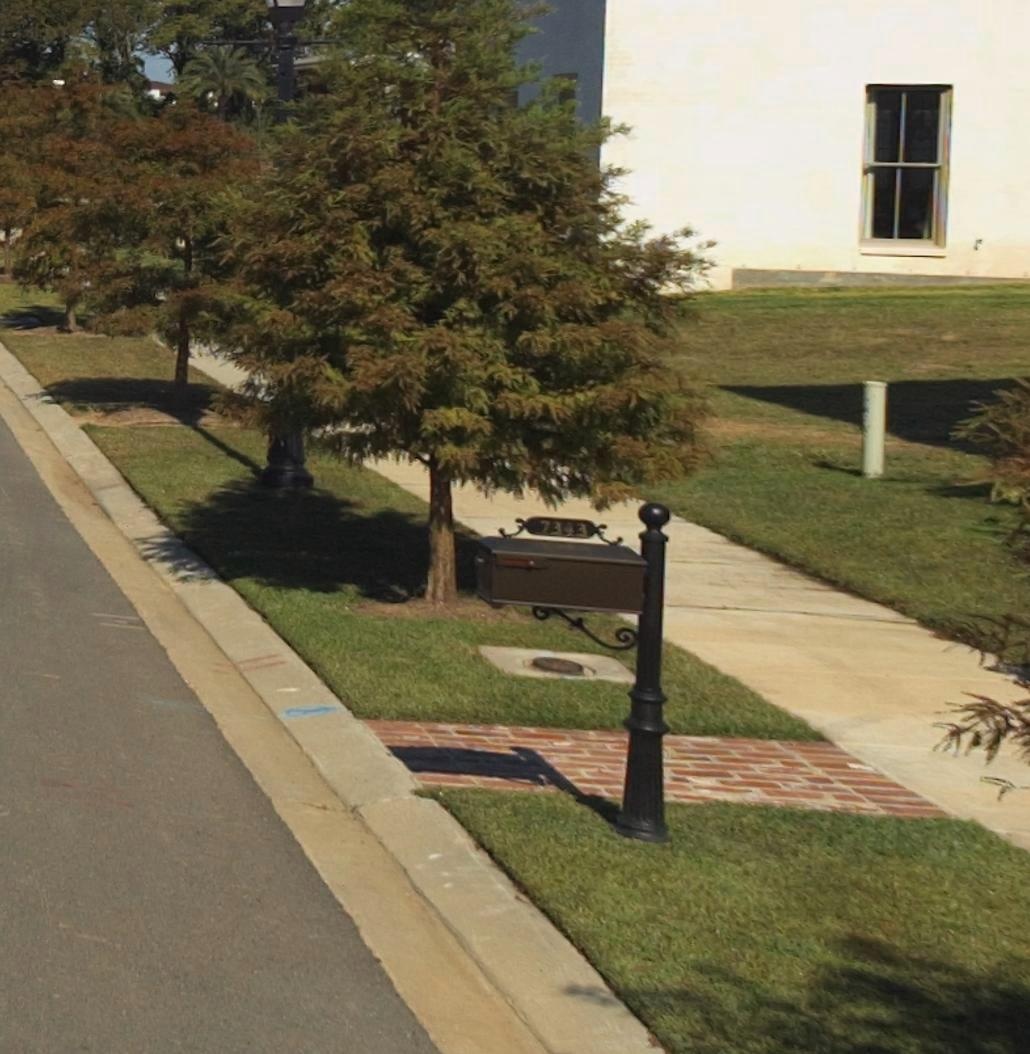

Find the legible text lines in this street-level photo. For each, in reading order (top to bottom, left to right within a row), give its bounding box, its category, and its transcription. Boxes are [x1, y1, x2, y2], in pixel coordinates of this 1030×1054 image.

[540, 519, 588, 537] StreetNumber: 7343